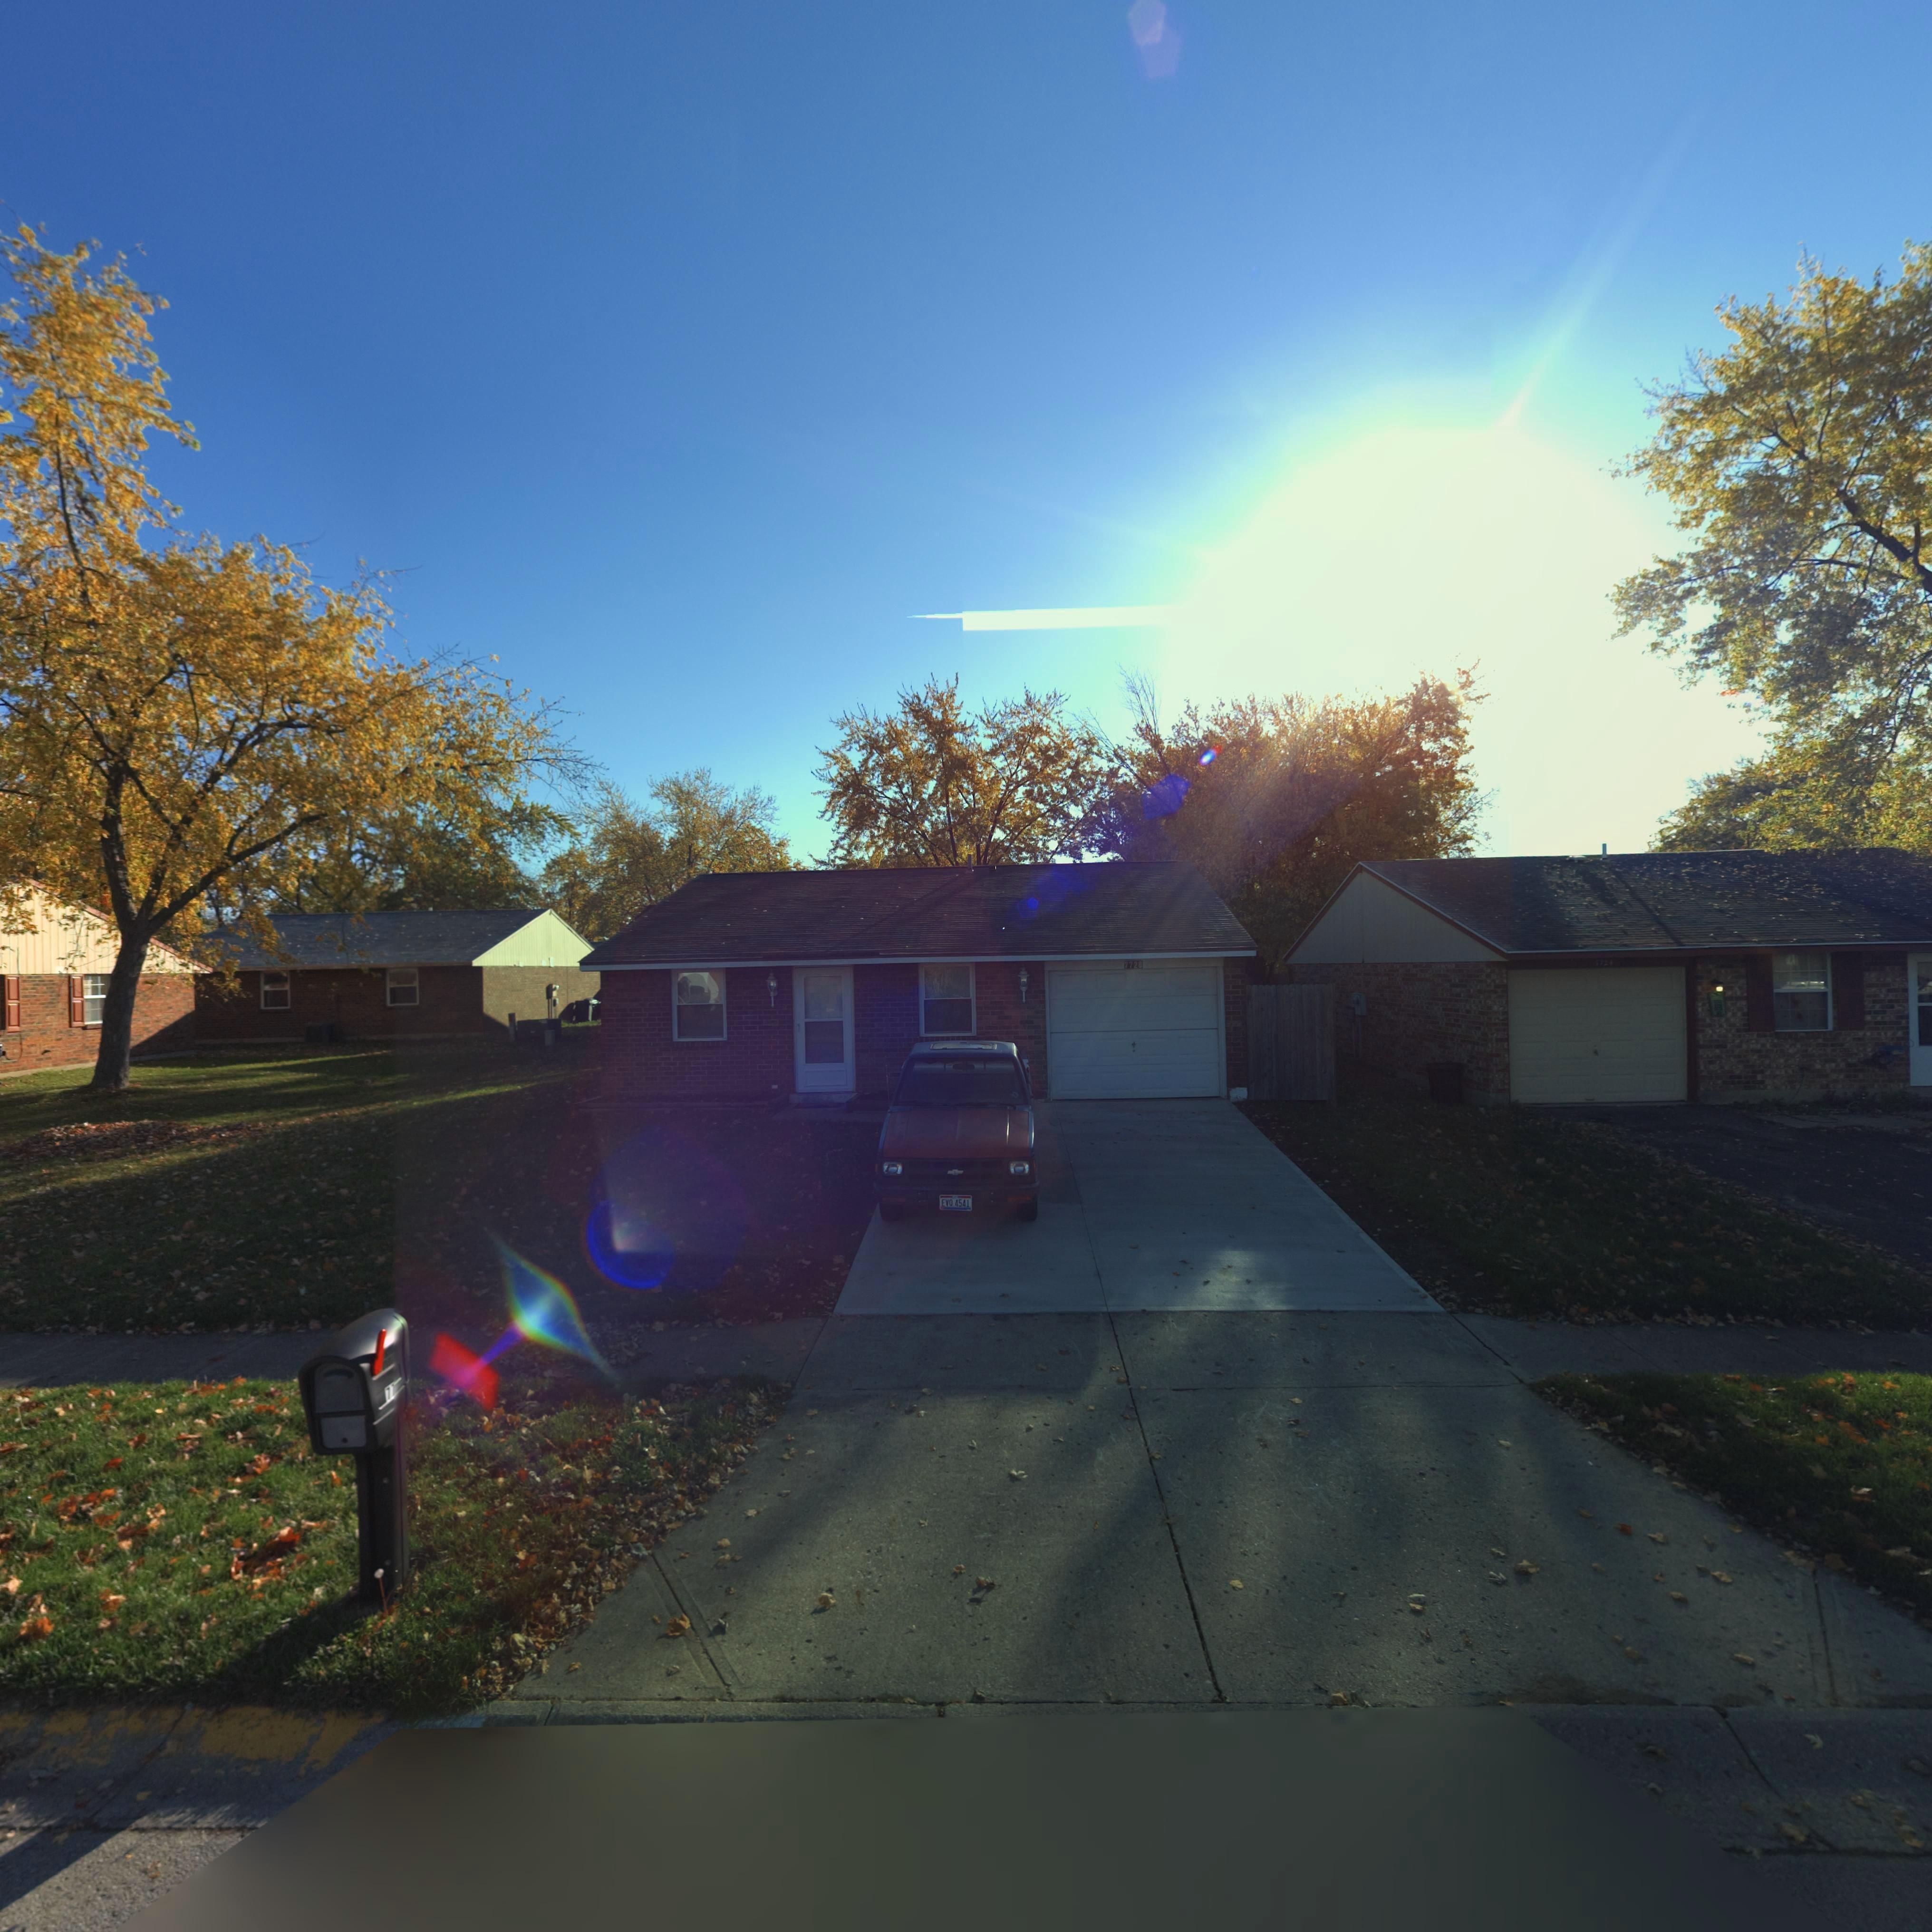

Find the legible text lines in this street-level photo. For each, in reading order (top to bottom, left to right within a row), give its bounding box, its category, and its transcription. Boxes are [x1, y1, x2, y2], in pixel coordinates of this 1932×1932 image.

[1123, 960, 1143, 969] StreetNumber: 7728
[1594, 958, 1614, 967] StreetNumber: 7724
[385, 1382, 395, 1401] StreetNumber: 77